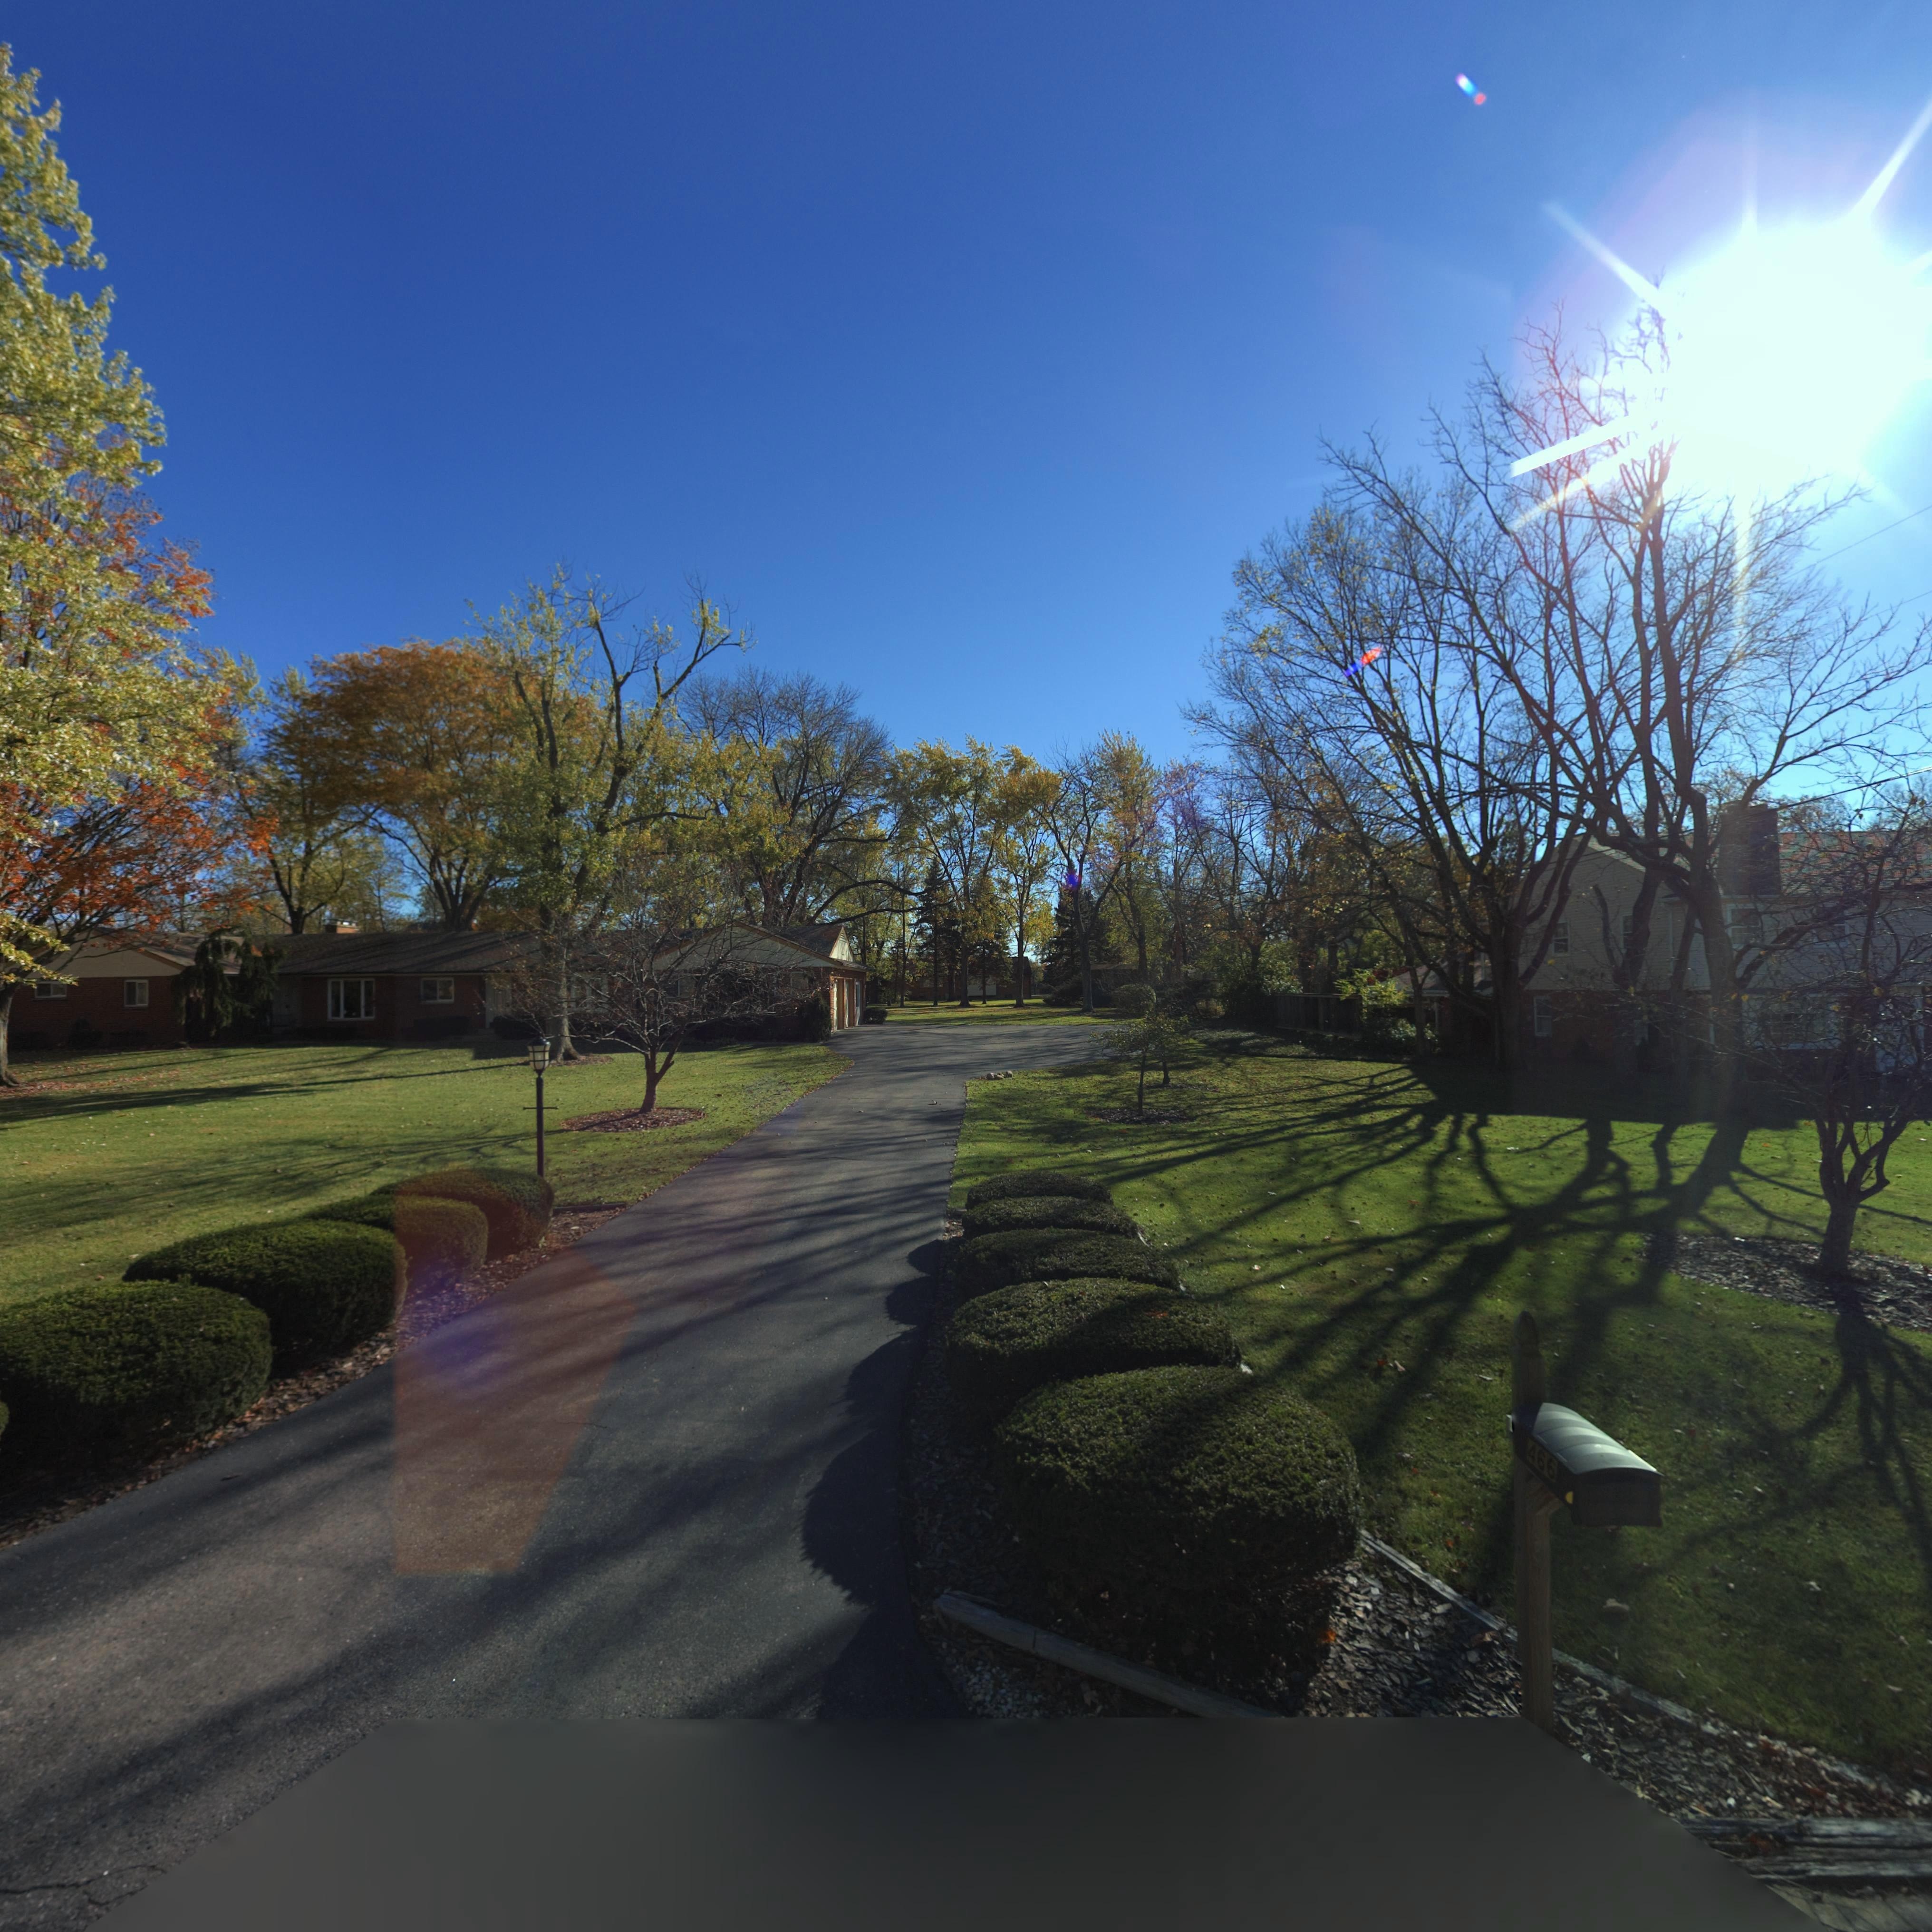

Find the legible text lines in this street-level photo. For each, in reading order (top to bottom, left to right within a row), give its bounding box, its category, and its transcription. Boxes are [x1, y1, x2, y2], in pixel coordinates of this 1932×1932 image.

[1524, 1441, 1558, 1481] StreetNumber: 466